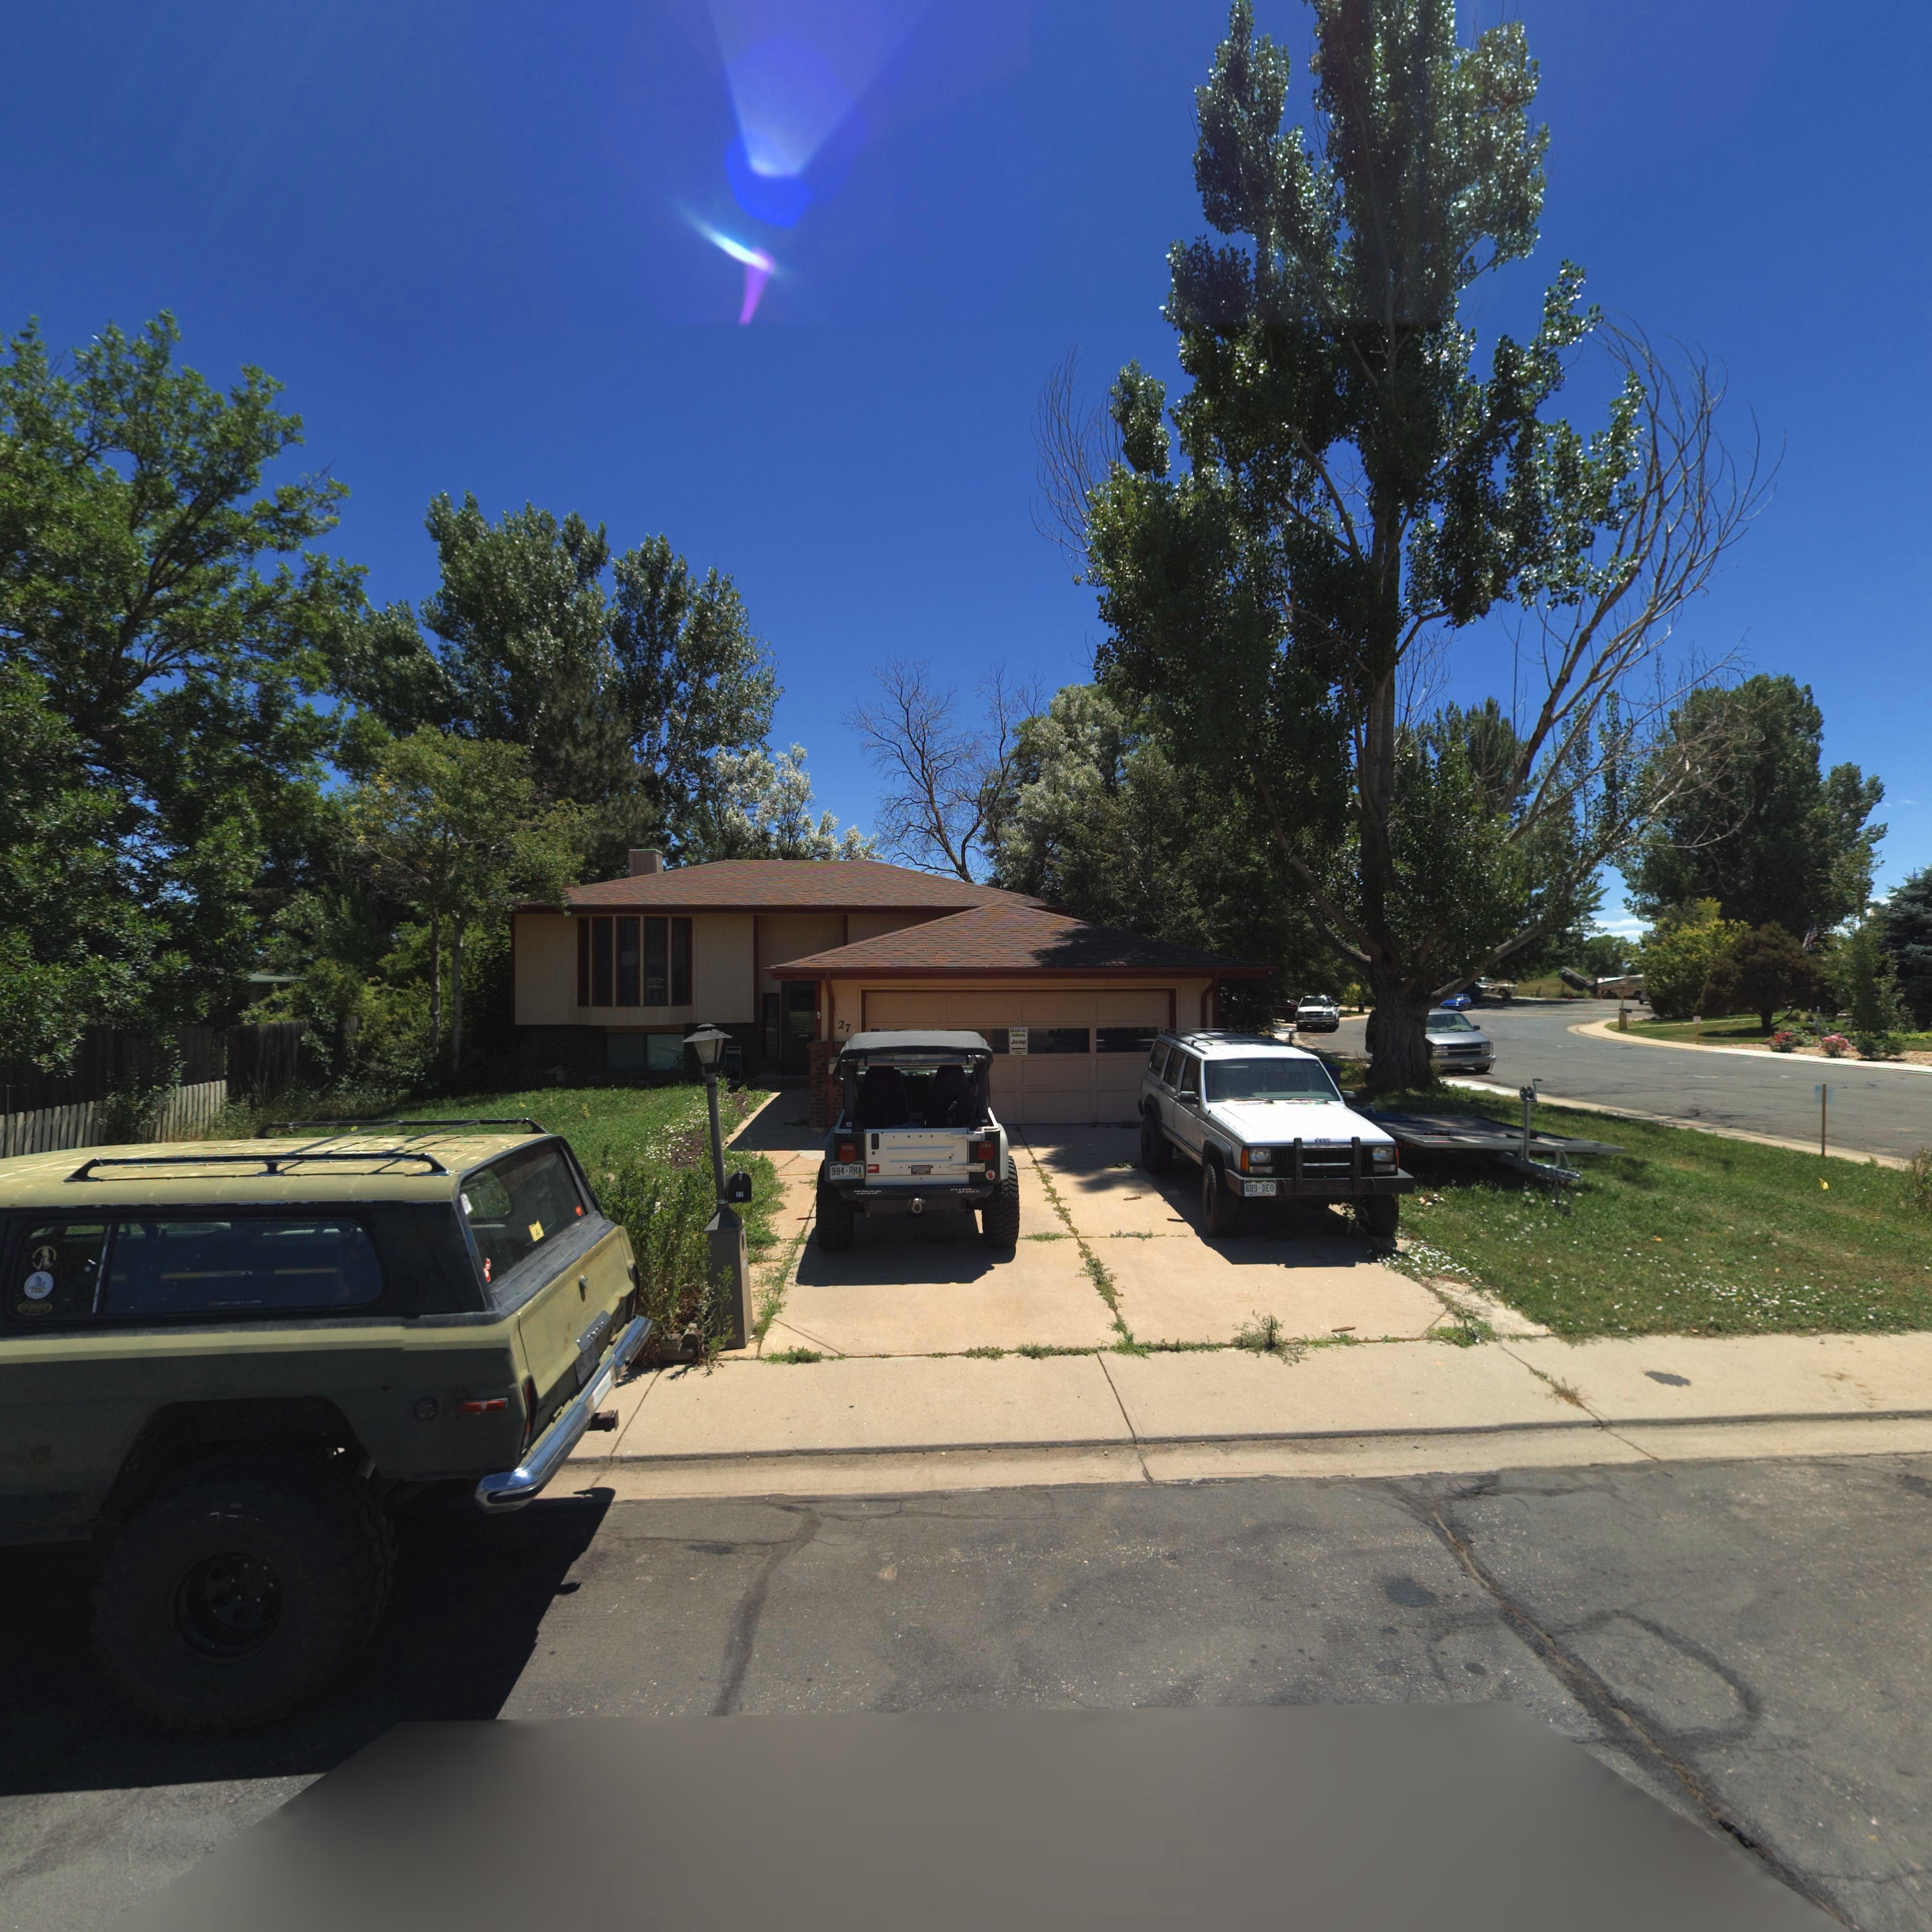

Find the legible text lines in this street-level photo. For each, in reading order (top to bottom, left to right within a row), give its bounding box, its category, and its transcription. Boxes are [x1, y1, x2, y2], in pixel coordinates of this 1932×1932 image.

[838, 1020, 851, 1033] StreetNumber: 27